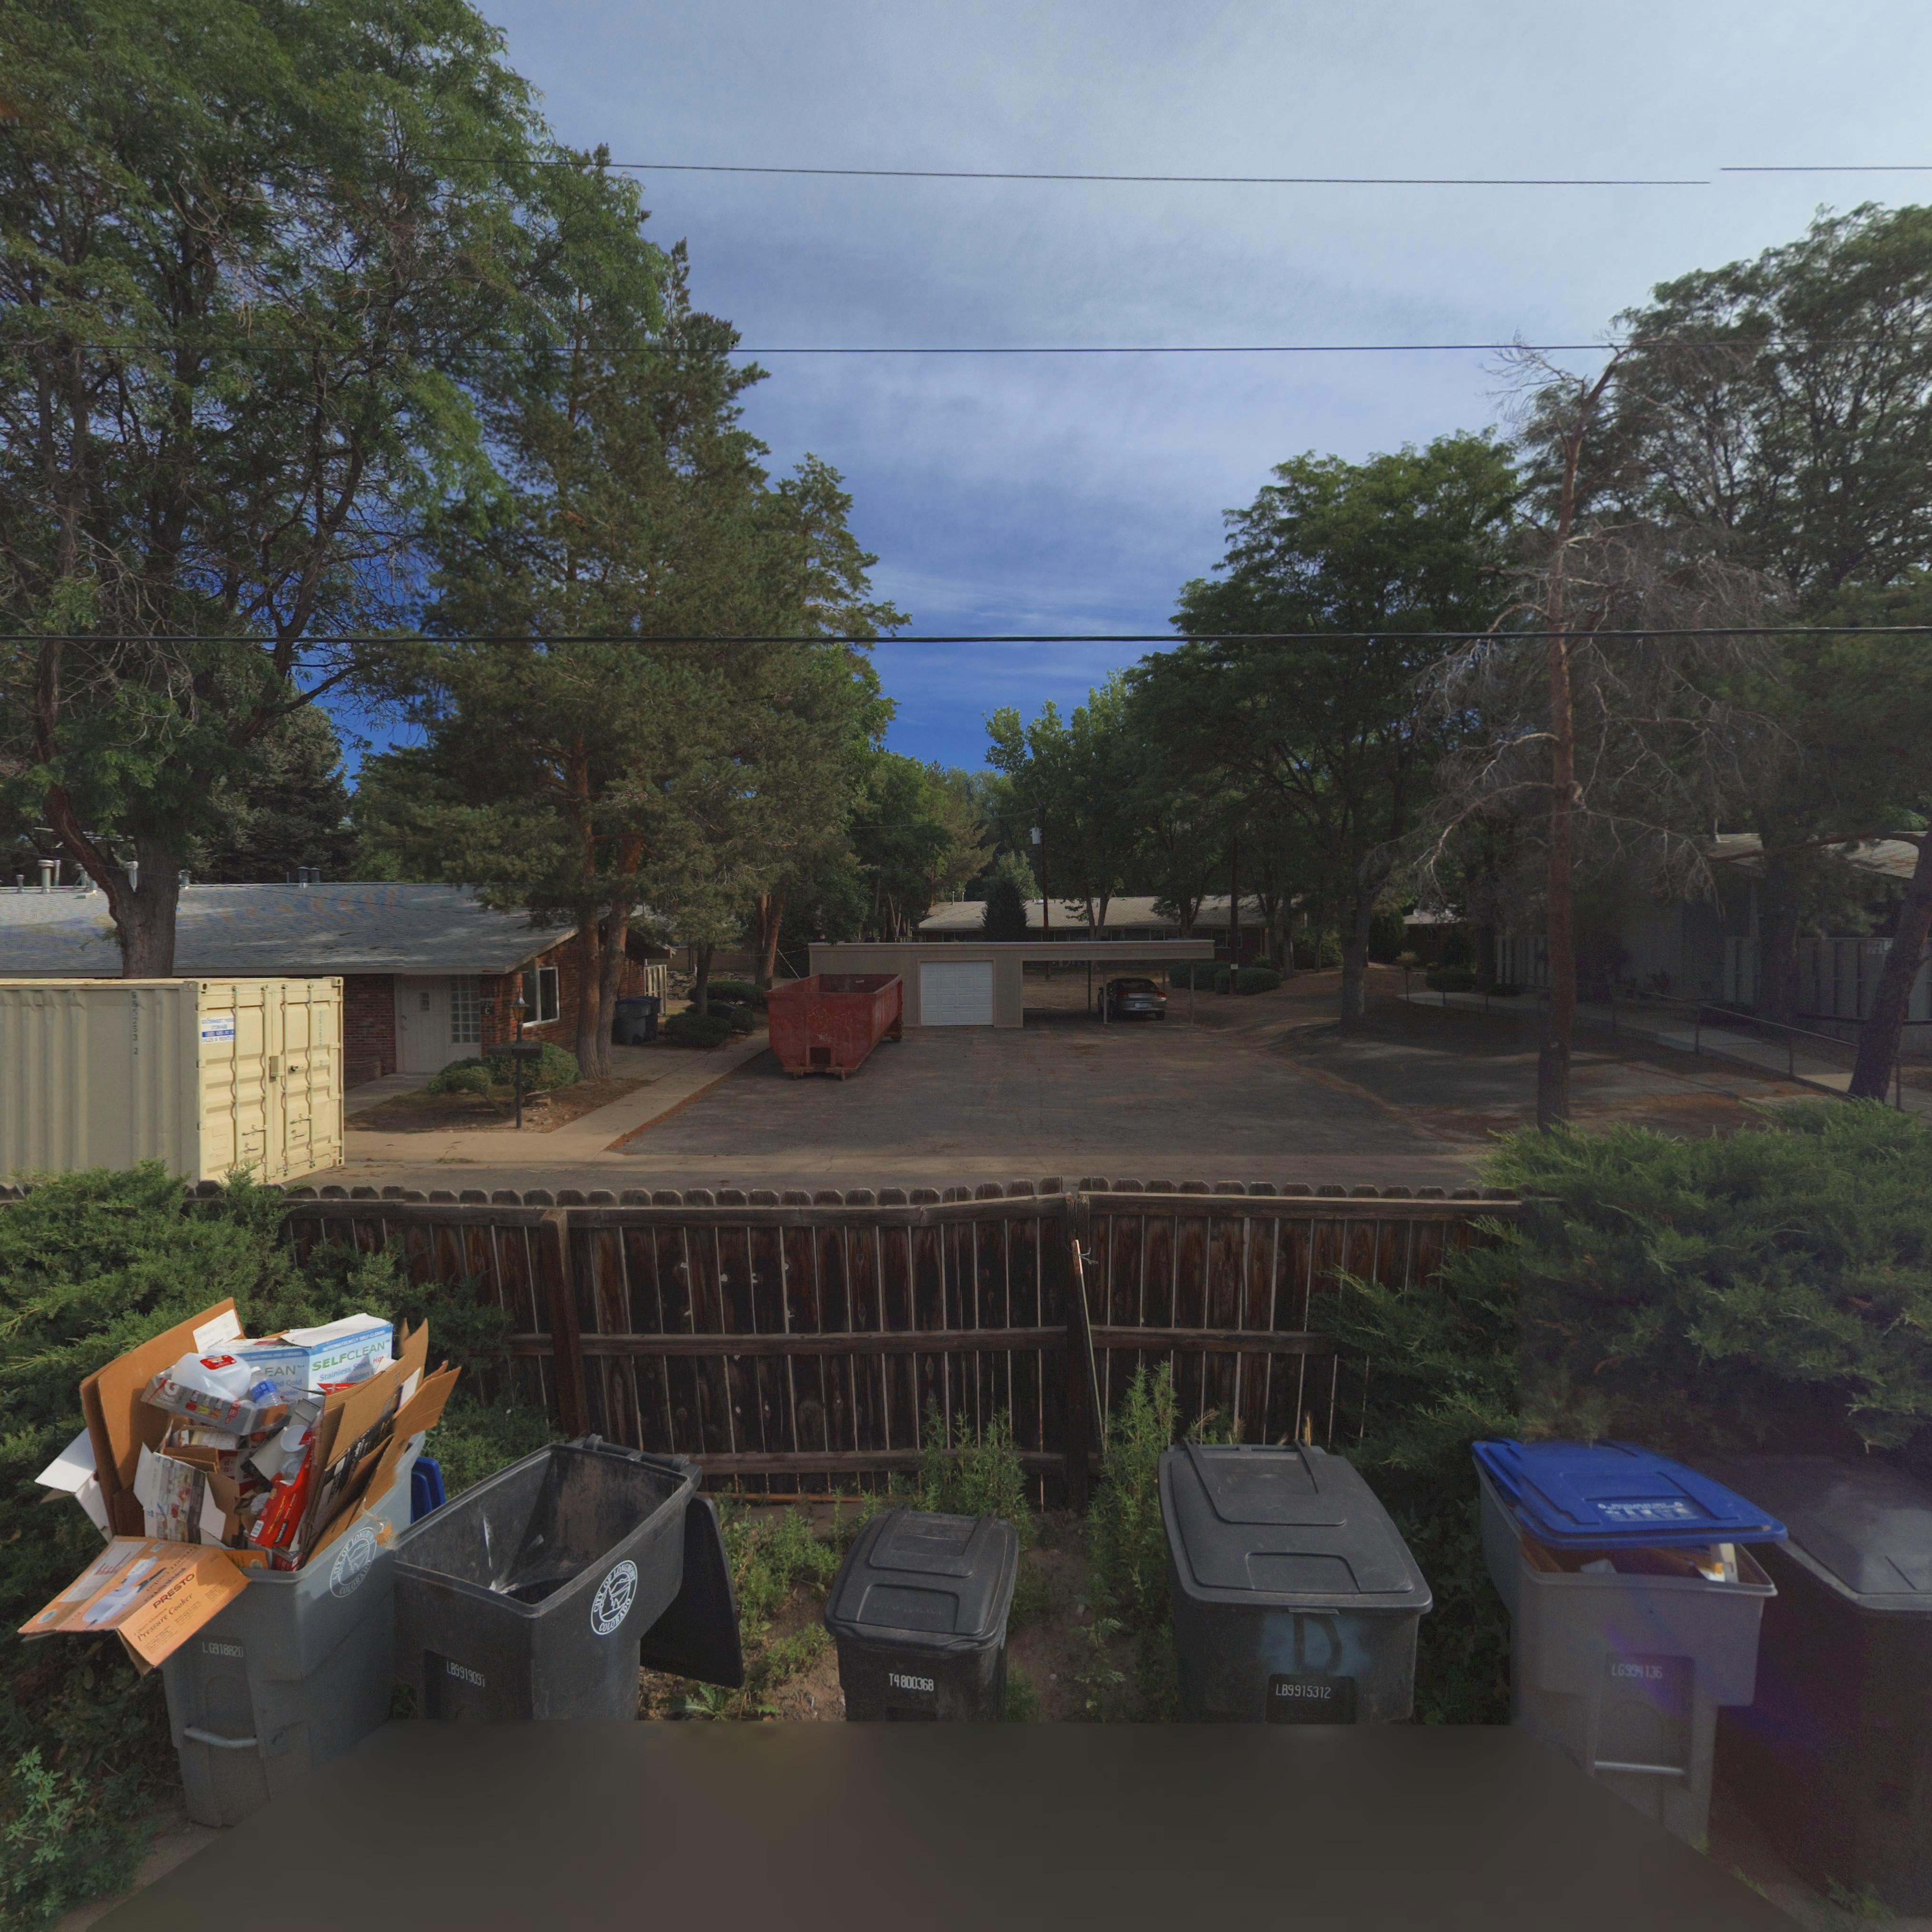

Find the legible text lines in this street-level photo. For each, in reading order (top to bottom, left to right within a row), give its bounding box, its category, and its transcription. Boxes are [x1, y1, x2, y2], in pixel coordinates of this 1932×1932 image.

[481, 1002, 494, 1007] StreetNumber: 720